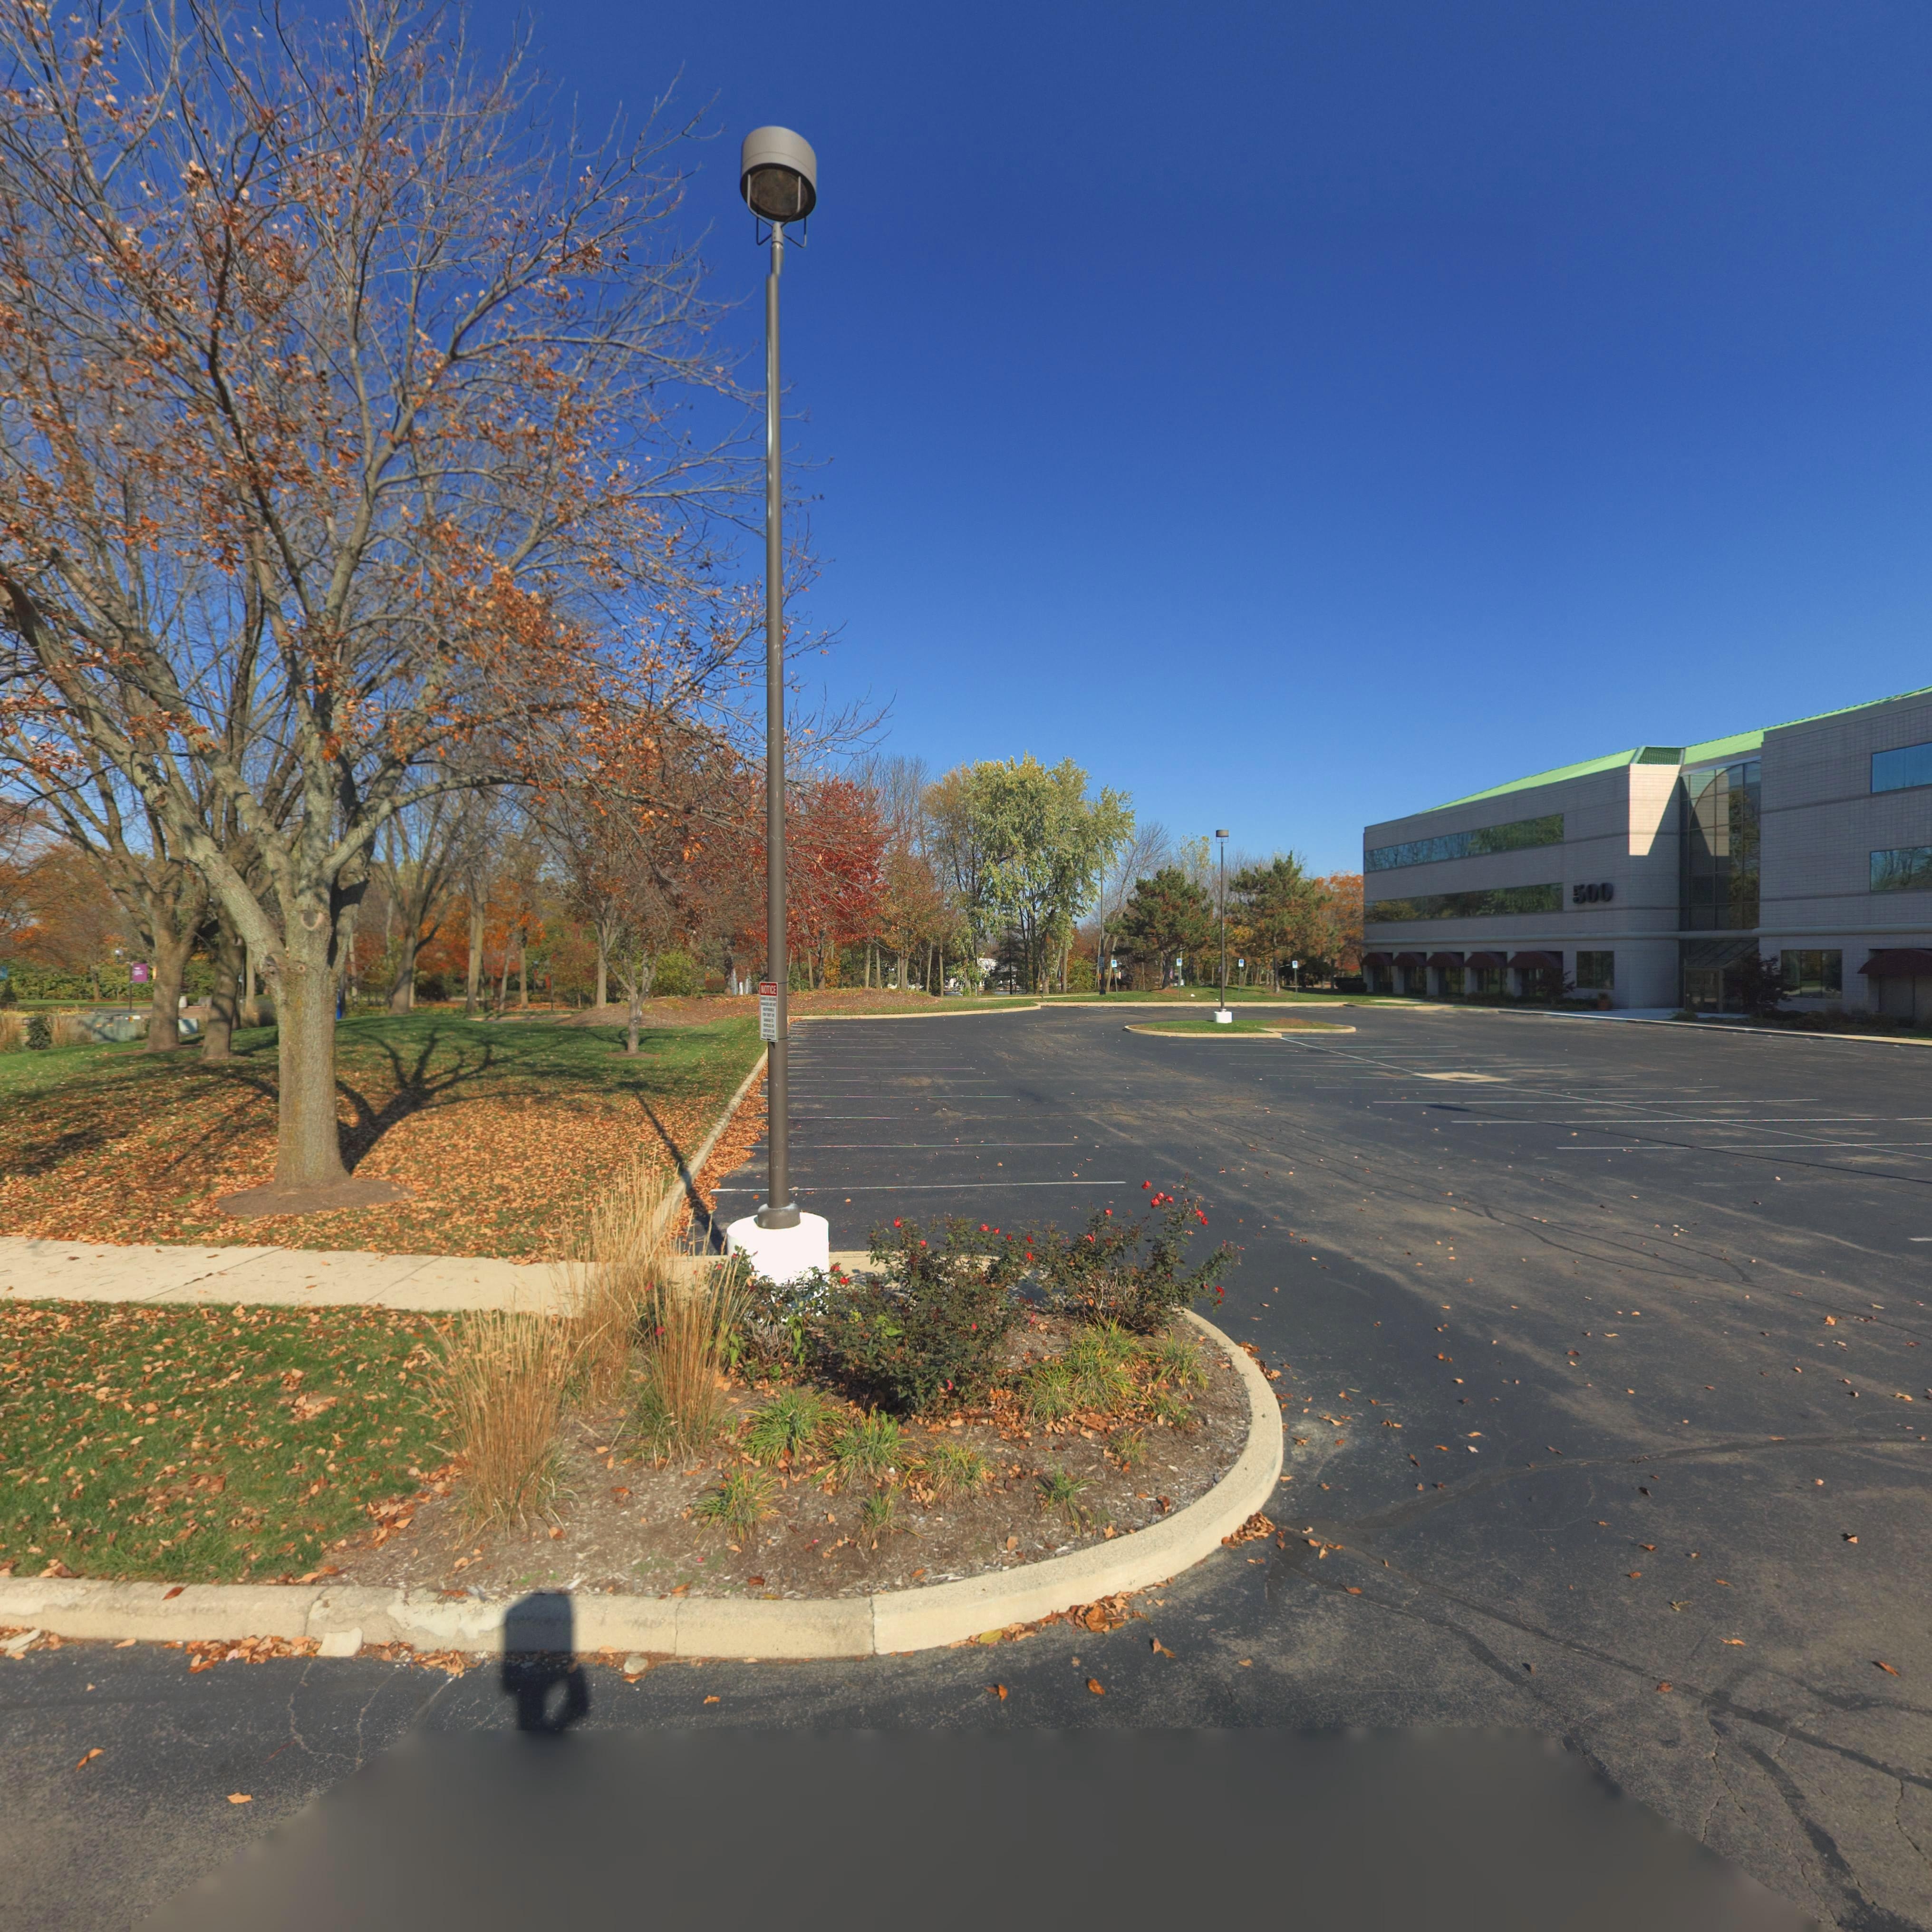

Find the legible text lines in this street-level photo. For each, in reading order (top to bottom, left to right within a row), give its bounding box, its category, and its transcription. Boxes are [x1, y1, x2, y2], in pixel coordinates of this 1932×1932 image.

[1572, 881, 1614, 905] StreetNumber: 500
[761, 985, 776, 995] None: NOTICE